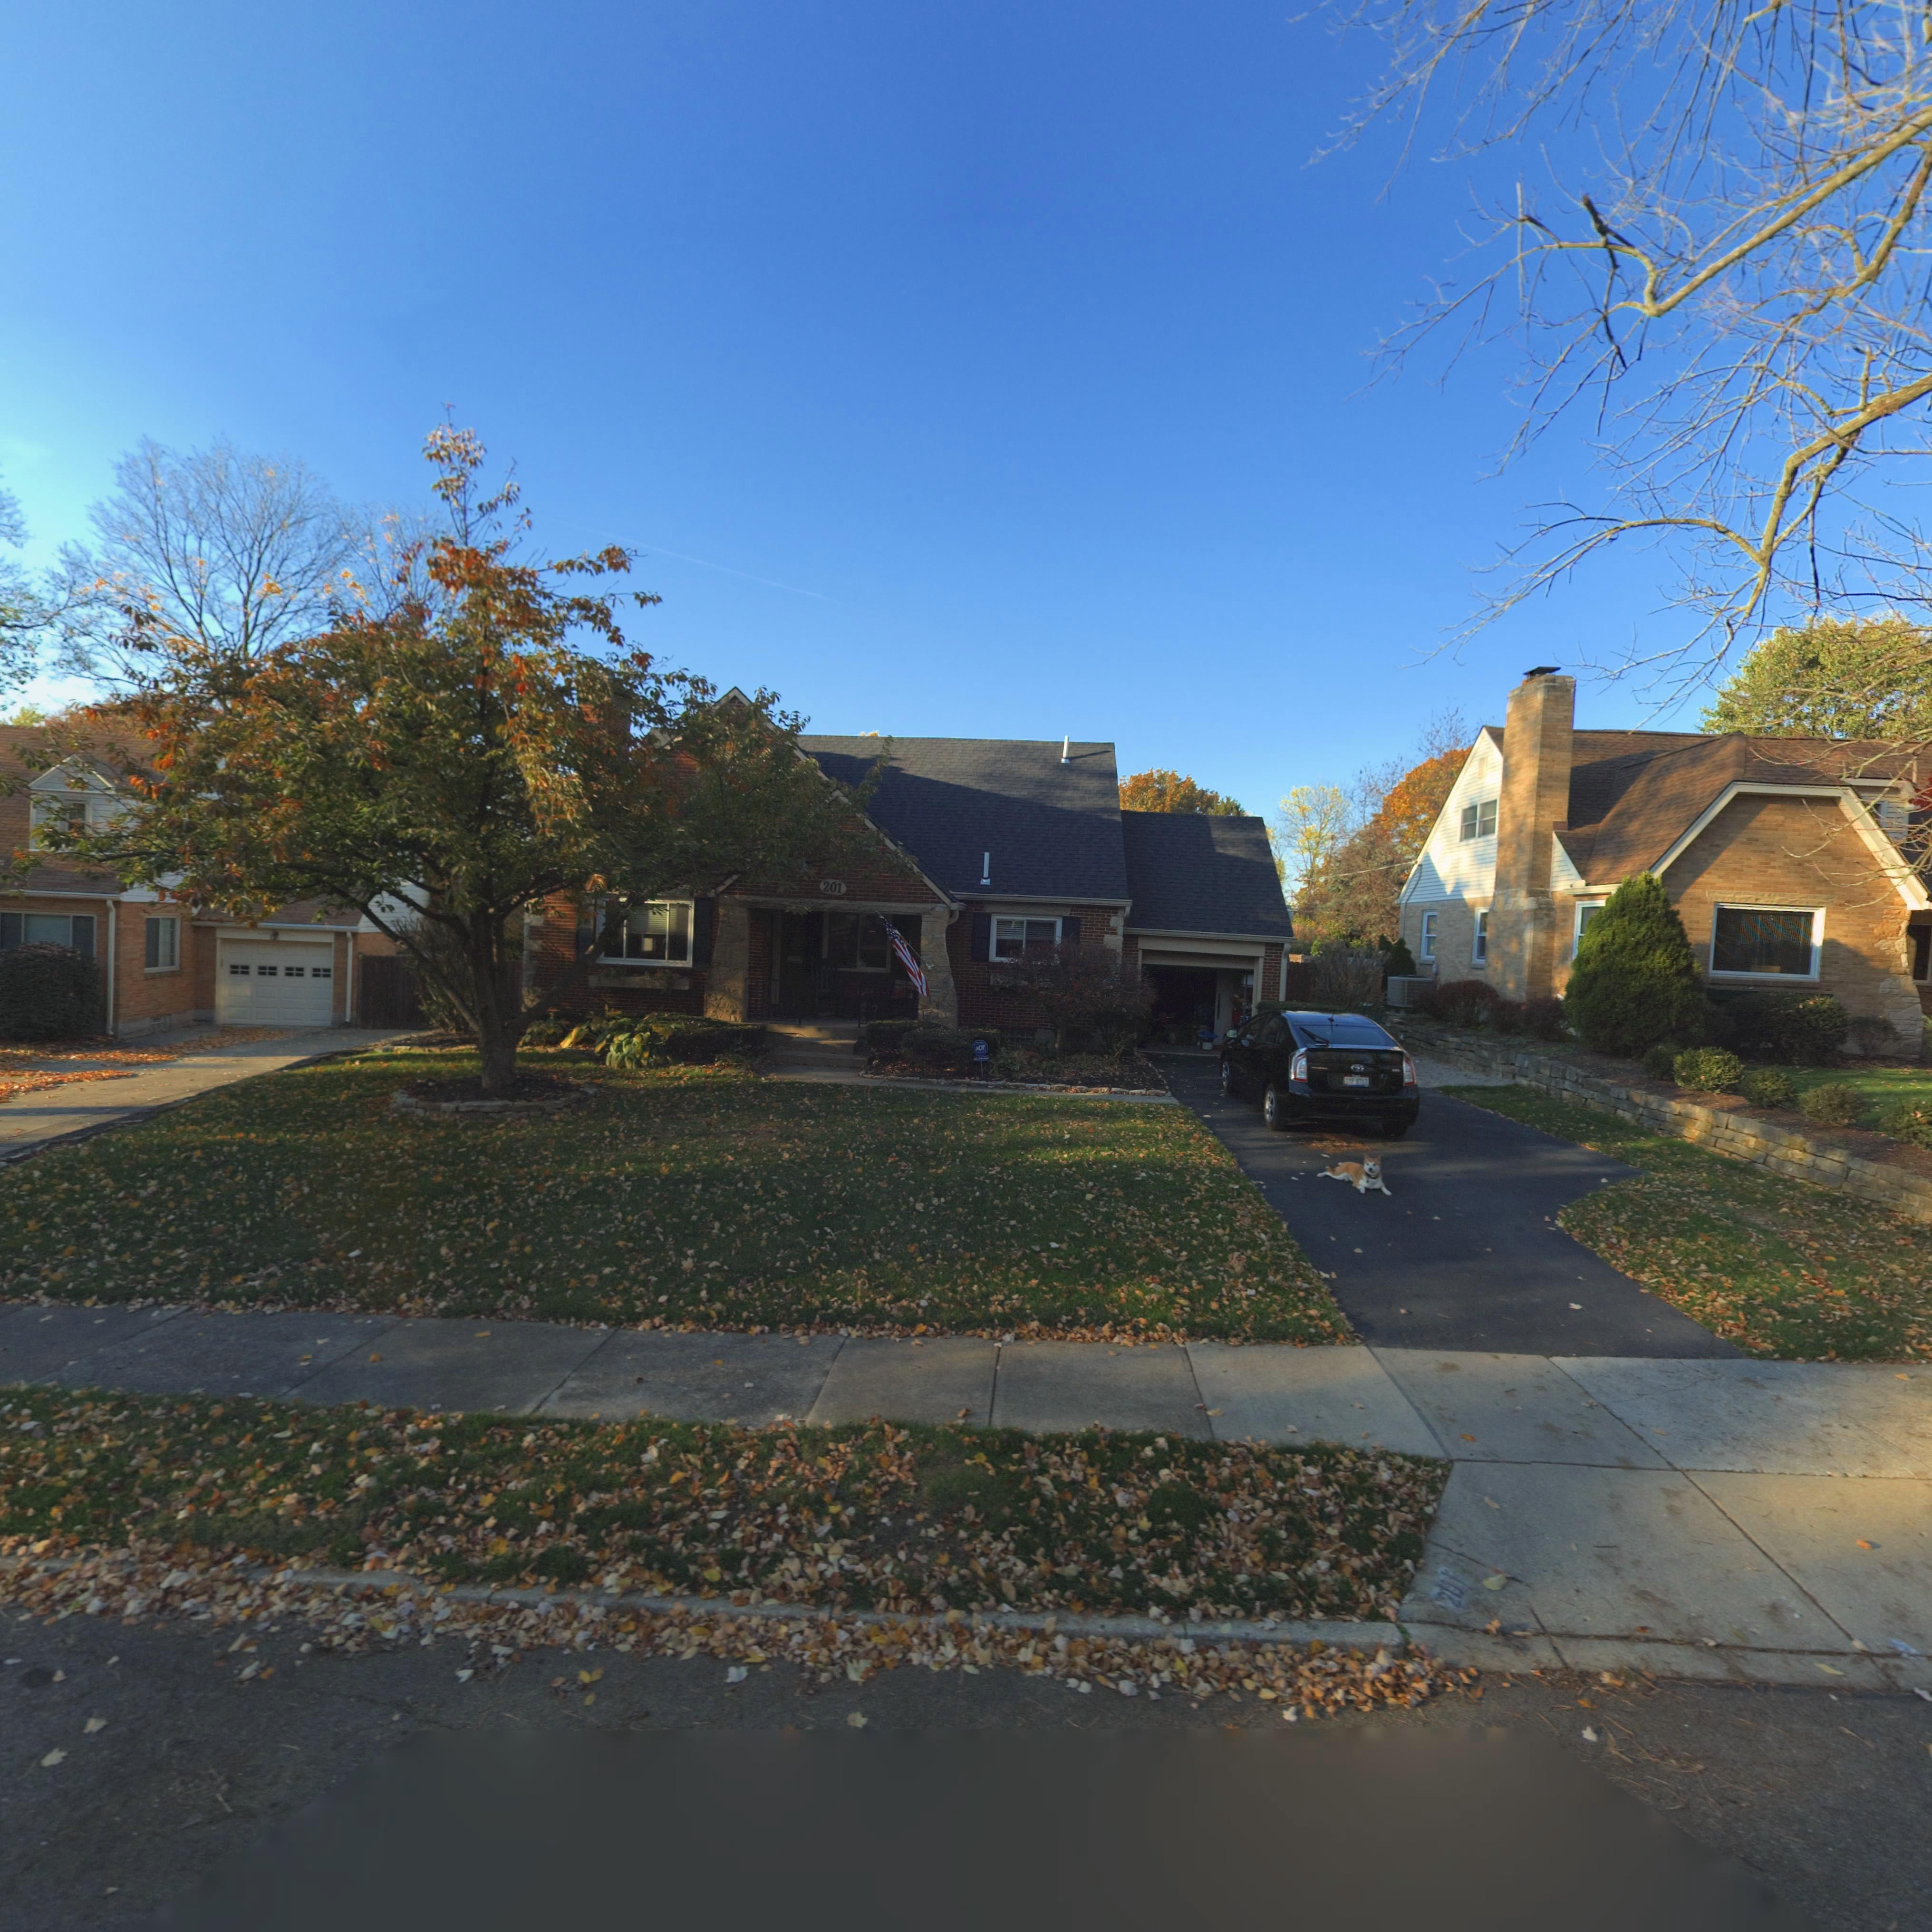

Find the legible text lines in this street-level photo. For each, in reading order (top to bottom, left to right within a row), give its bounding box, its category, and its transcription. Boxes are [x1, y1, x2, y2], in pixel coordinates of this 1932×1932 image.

[822, 880, 842, 894] StreetNumber: 201